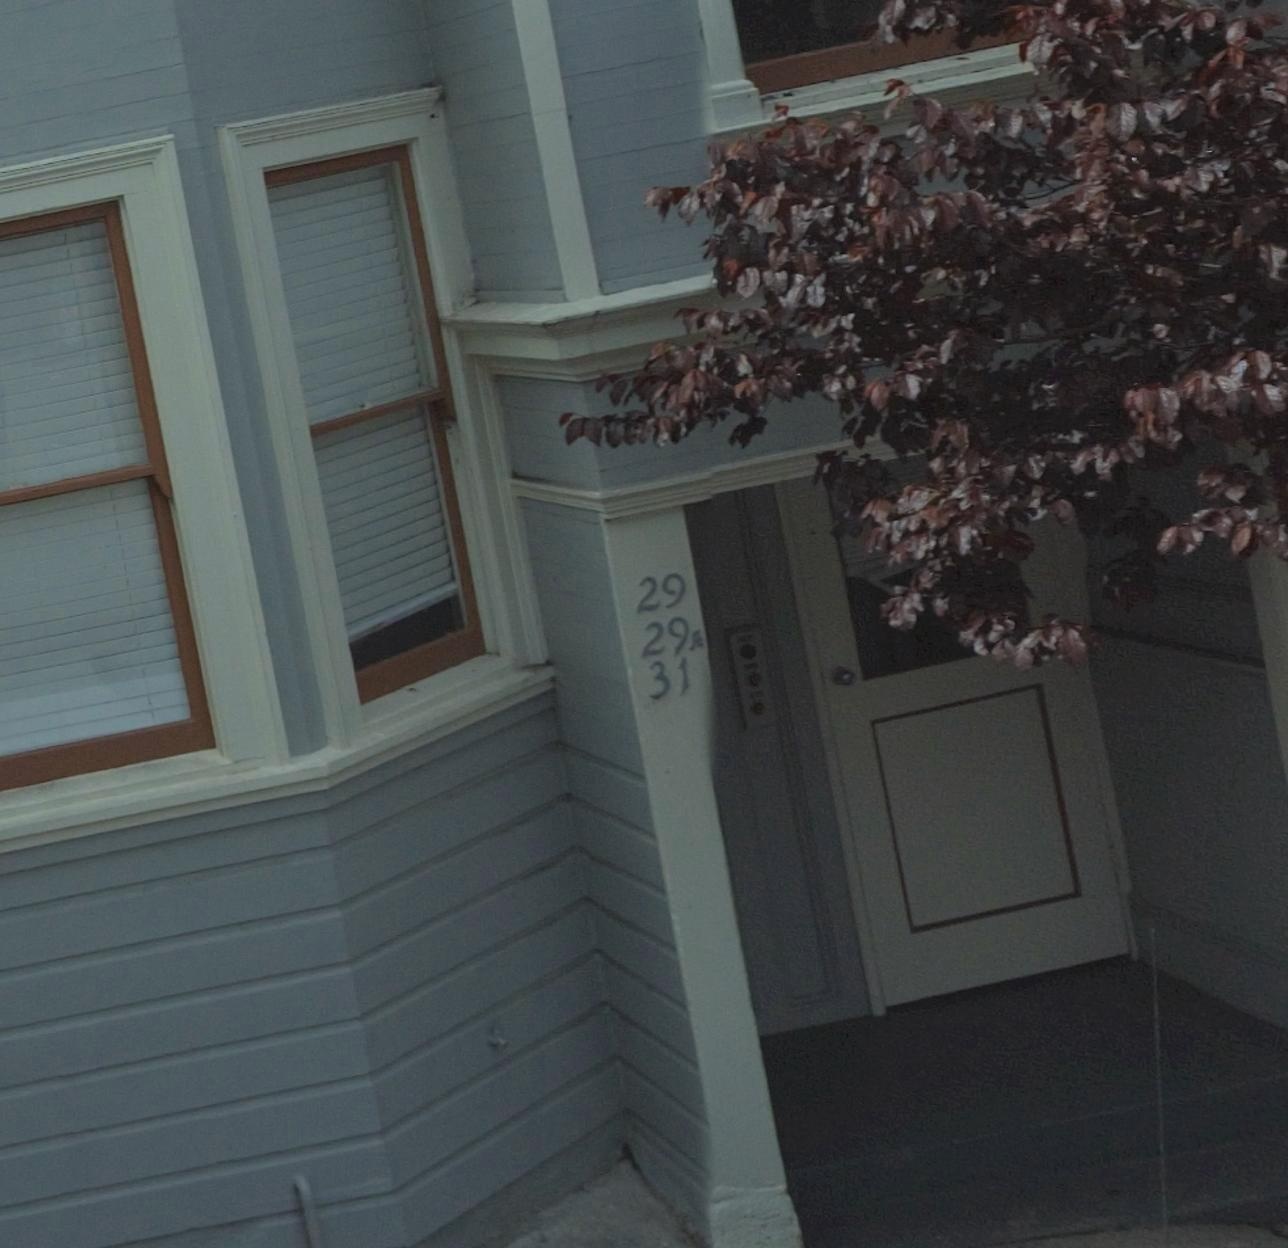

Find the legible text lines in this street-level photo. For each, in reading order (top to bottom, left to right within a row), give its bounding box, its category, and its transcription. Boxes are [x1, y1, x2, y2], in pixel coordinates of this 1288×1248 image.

[633, 567, 691, 618] StreetNumber: 29
[638, 612, 708, 661] StreetNumber: 29 A
[645, 652, 696, 705] StreetNumber: 31